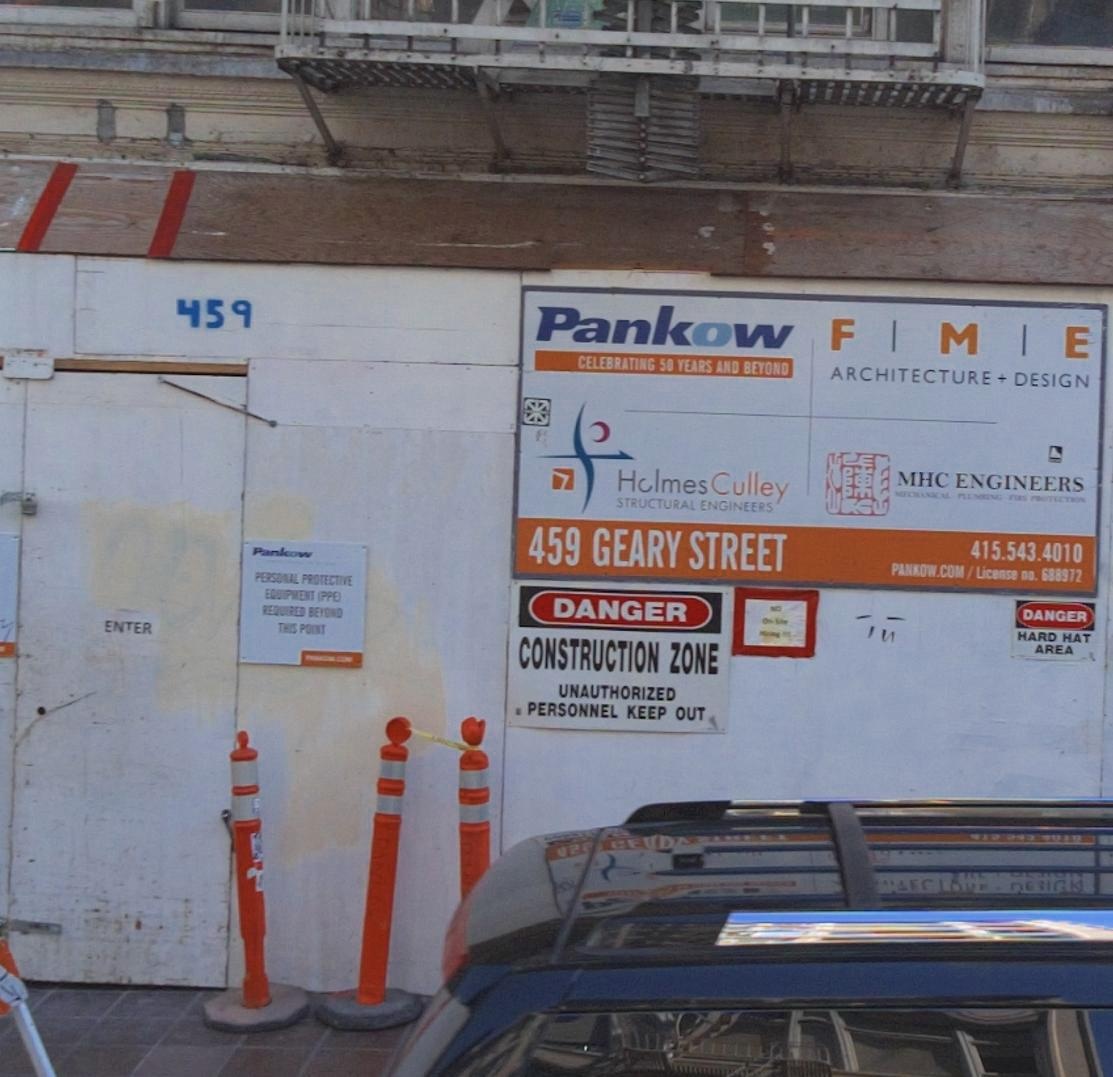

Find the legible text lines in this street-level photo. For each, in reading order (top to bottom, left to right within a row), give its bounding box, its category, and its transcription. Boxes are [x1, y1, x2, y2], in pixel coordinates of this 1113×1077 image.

[174, 297, 254, 330] StreetNumber: 459
[533, 303, 799, 351] BusinessName: Panknow
[829, 317, 1091, 361] BusinessName: F * M * E
[576, 354, 792, 378] None: CELEBRATING 50 YEARS AND BEYOND
[828, 365, 1091, 390] None: ARCHITECTURE + DESIGN
[617, 467, 794, 506] BusinessName: H*lmes Culley
[896, 470, 1086, 494] BusinessName: MHCENGINEERS
[616, 496, 775, 514] None: STRUCUAL ENGINEERS
[251, 545, 316, 560] BusinessName: Panknow
[526, 525, 582, 568] StreetNumber: 459
[591, 526, 789, 574] StreetName: GEARY STREET
[968, 539, 1085, 565] None: 415.543.4010
[253, 571, 354, 587] None: PERSONAL PROTECTIVE
[890, 562, 1084, 584] None: PANKNOW.COM/License no. 688972
[263, 587, 342, 603] None: EQUIPMENT (PPE)
[261, 603, 345, 620] None: REQUIRED BEYOND
[552, 596, 690, 624] None: DANGER
[769, 605, 783, 613] None: NO
[1021, 607, 1088, 624] None: DANGER
[104, 619, 153, 635] None: ENTER
[277, 621, 327, 636] None: THIS POINT
[1016, 630, 1092, 644] None: HARDHAT
[517, 635, 720, 677] None: CONSTRUCTION ZONE
[1033, 643, 1076, 657] None: AREA
[558, 682, 678, 703] None: UNAUTHORIZED
[526, 700, 707, 722] None: PERSONNEL KEEP OUT